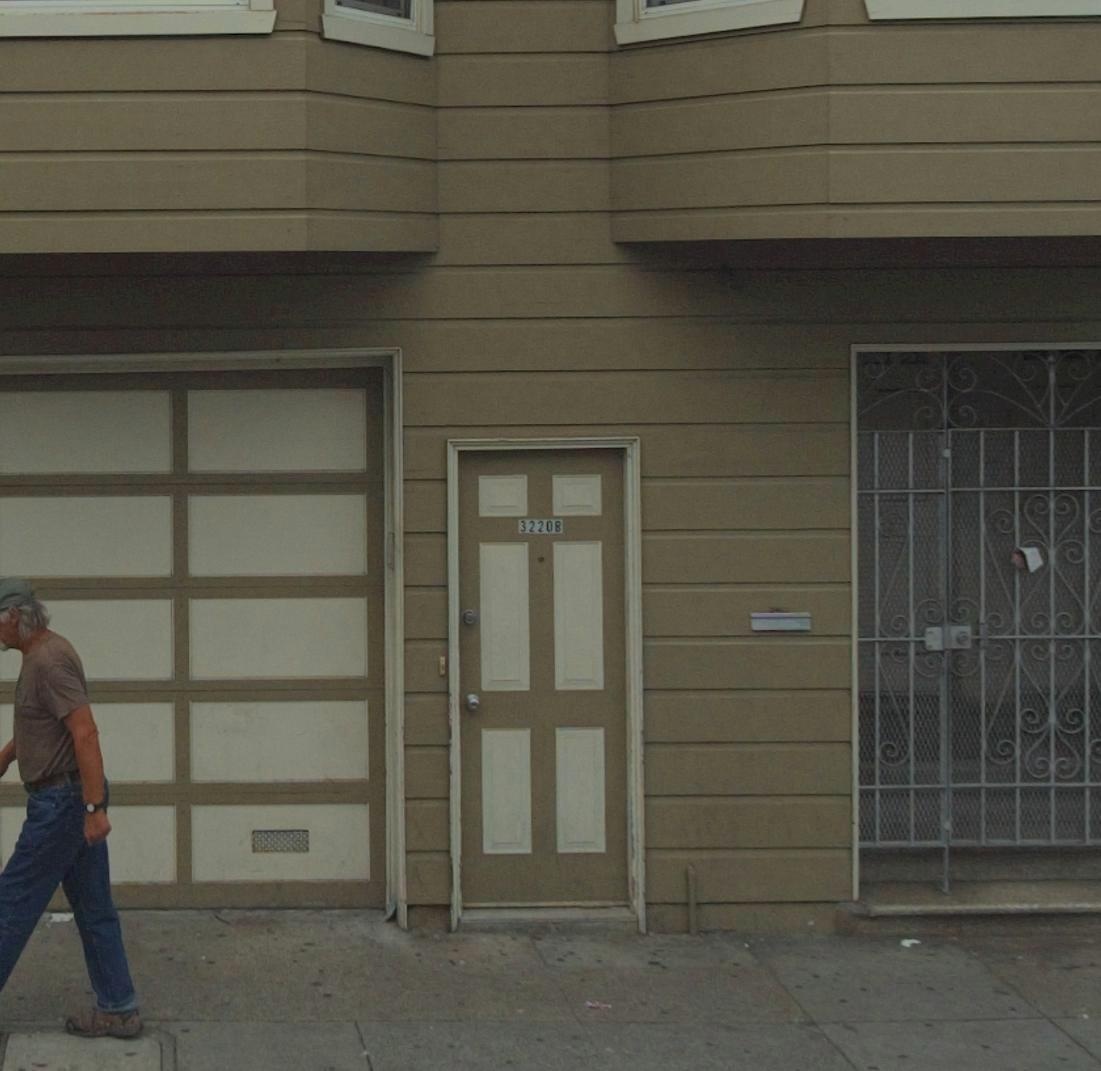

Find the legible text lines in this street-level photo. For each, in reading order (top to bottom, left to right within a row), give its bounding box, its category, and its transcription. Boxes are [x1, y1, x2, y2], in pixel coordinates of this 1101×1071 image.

[519, 519, 563, 534] StreetNumber: 3220B